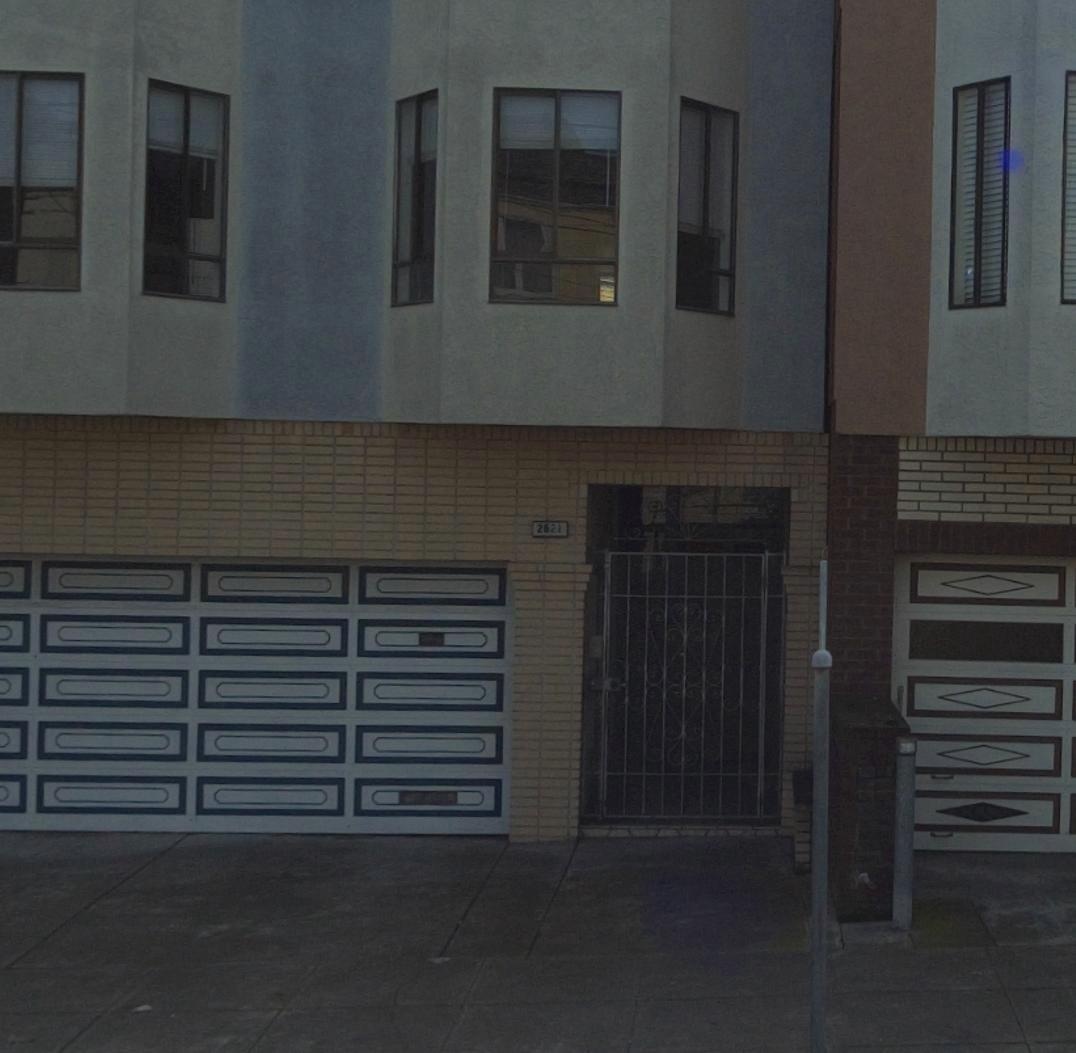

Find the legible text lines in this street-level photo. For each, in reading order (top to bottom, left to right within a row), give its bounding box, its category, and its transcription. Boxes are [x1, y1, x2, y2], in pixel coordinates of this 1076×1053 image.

[536, 522, 562, 534] StreetNumber: 2621